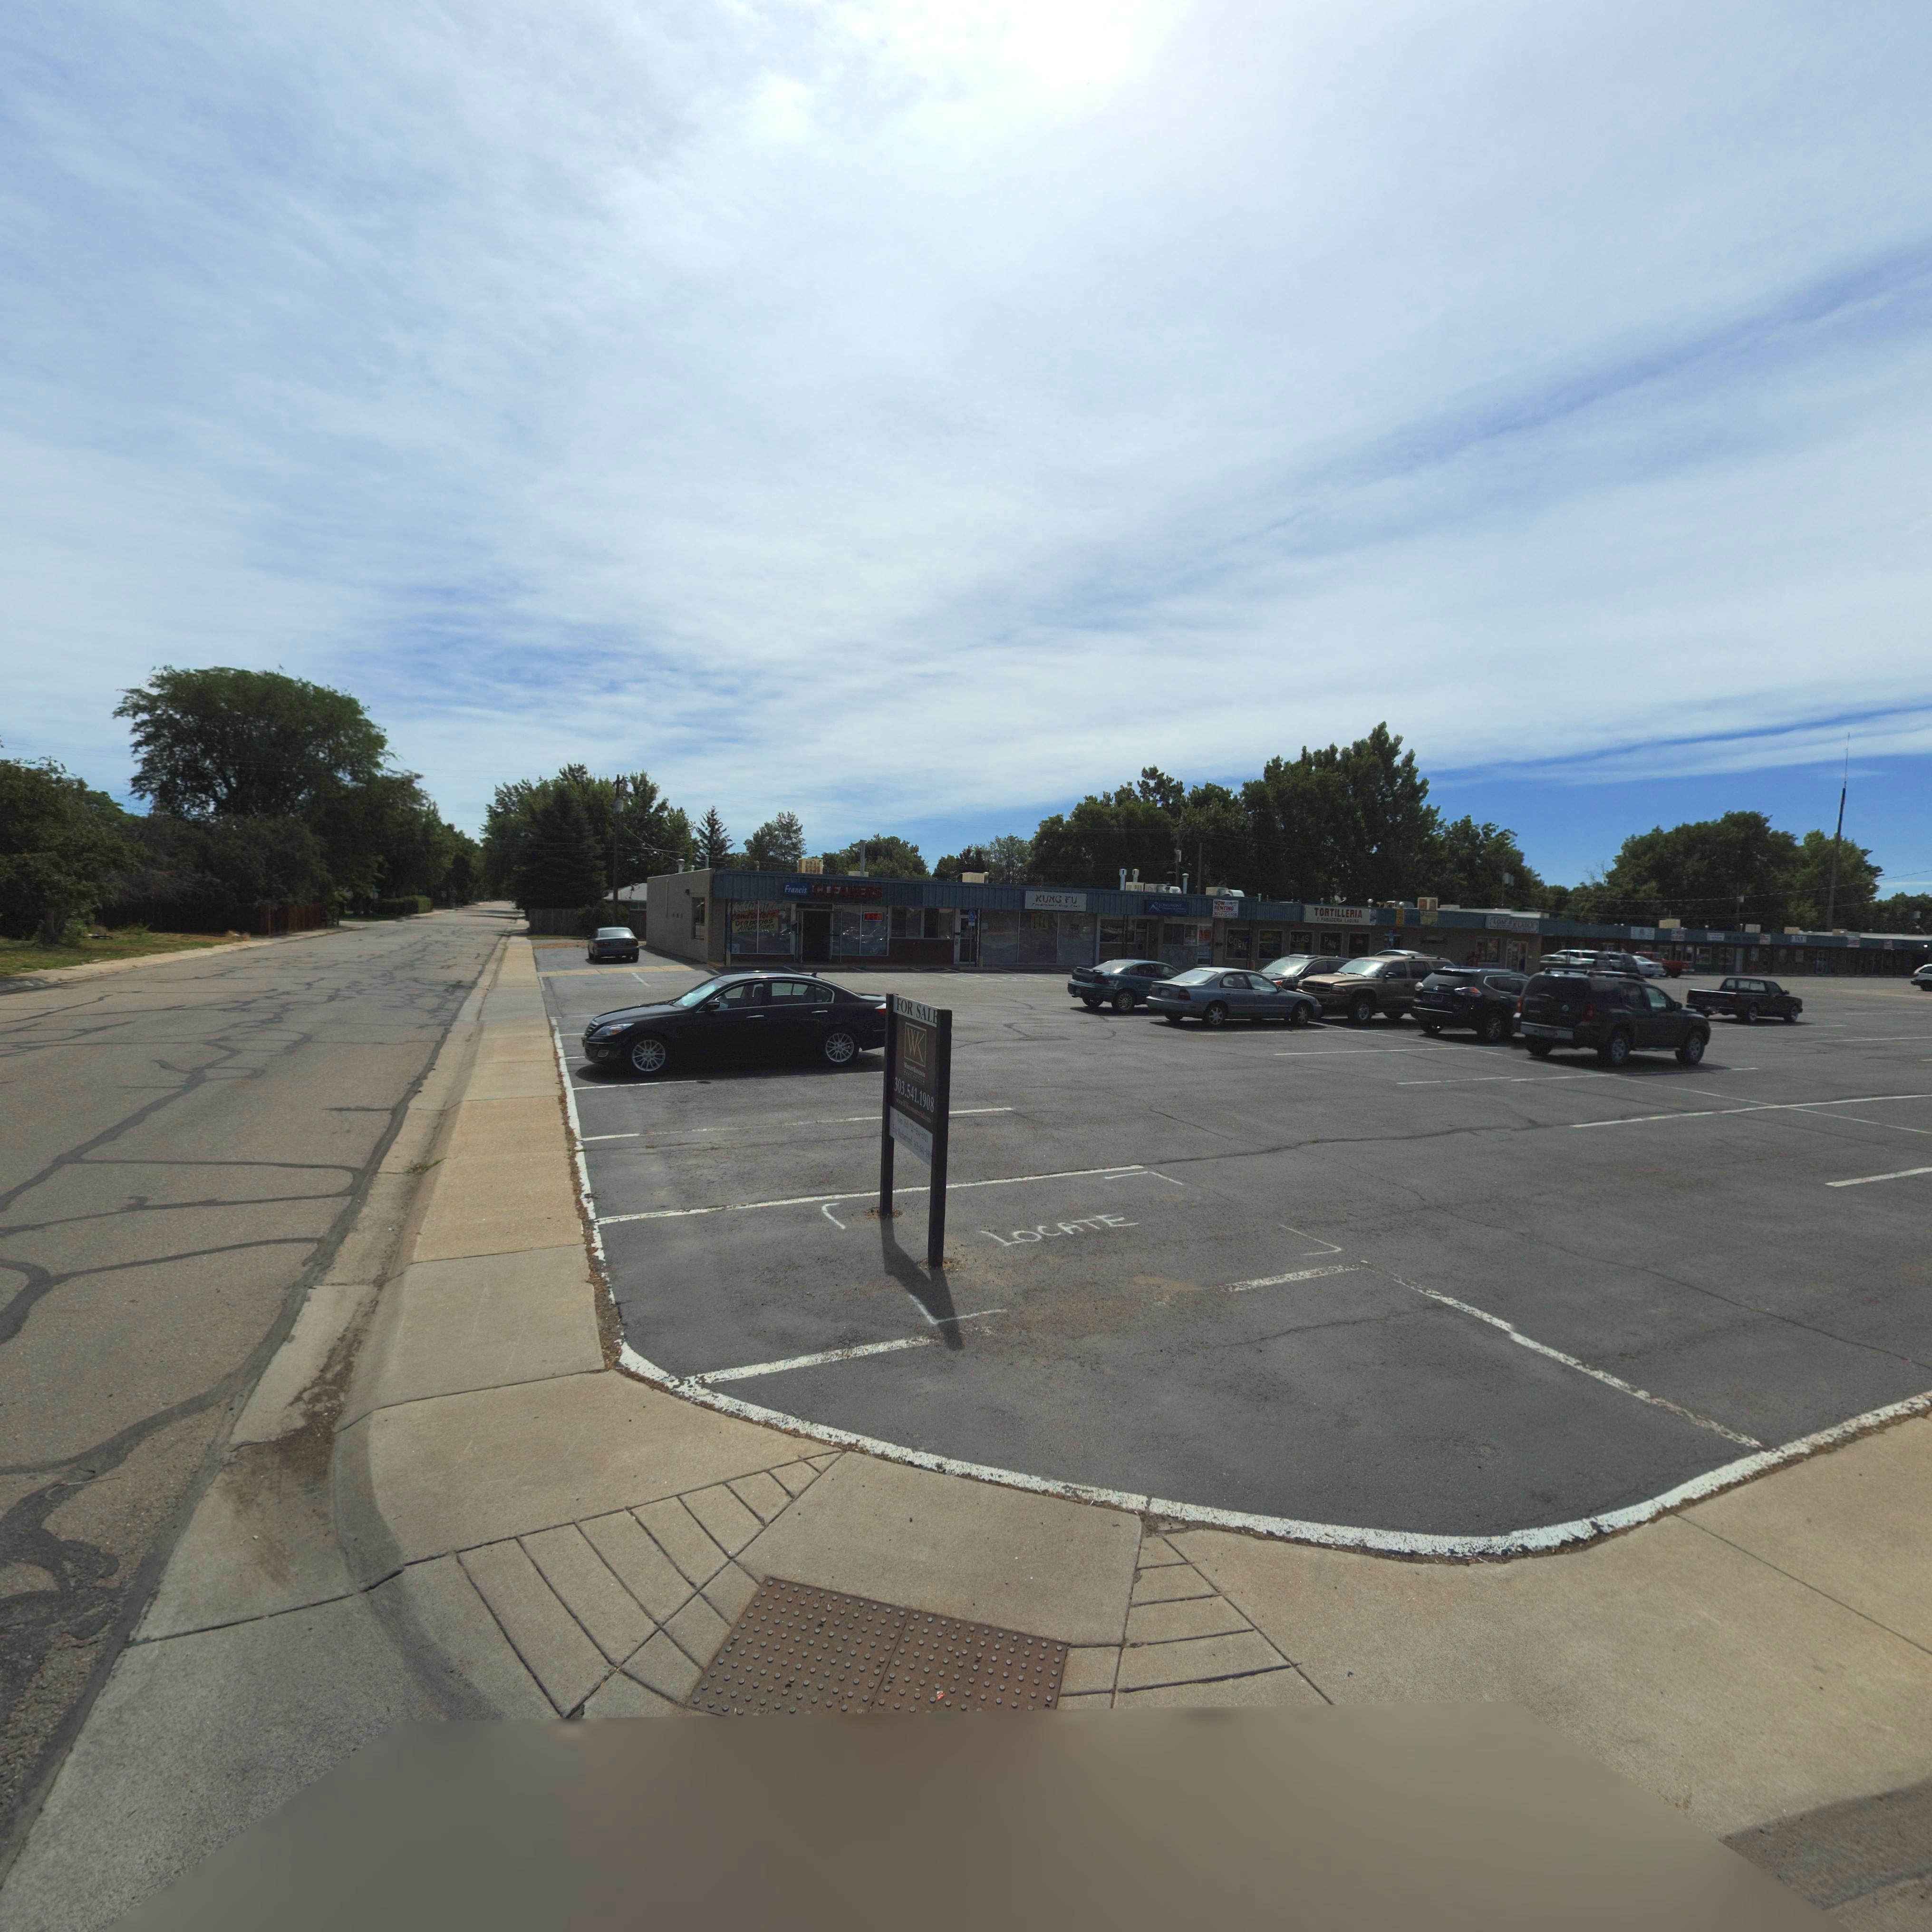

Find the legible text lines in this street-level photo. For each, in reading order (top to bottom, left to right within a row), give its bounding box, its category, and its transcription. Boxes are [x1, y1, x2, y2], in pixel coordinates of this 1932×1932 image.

[784, 884, 807, 893] BusinessName: Francis
[813, 882, 883, 900] BusinessName: CLEANERS
[1158, 903, 1182, 908] BusinessName: LONGMONT
[1314, 907, 1362, 918] BusinessName: TORTILLERIA